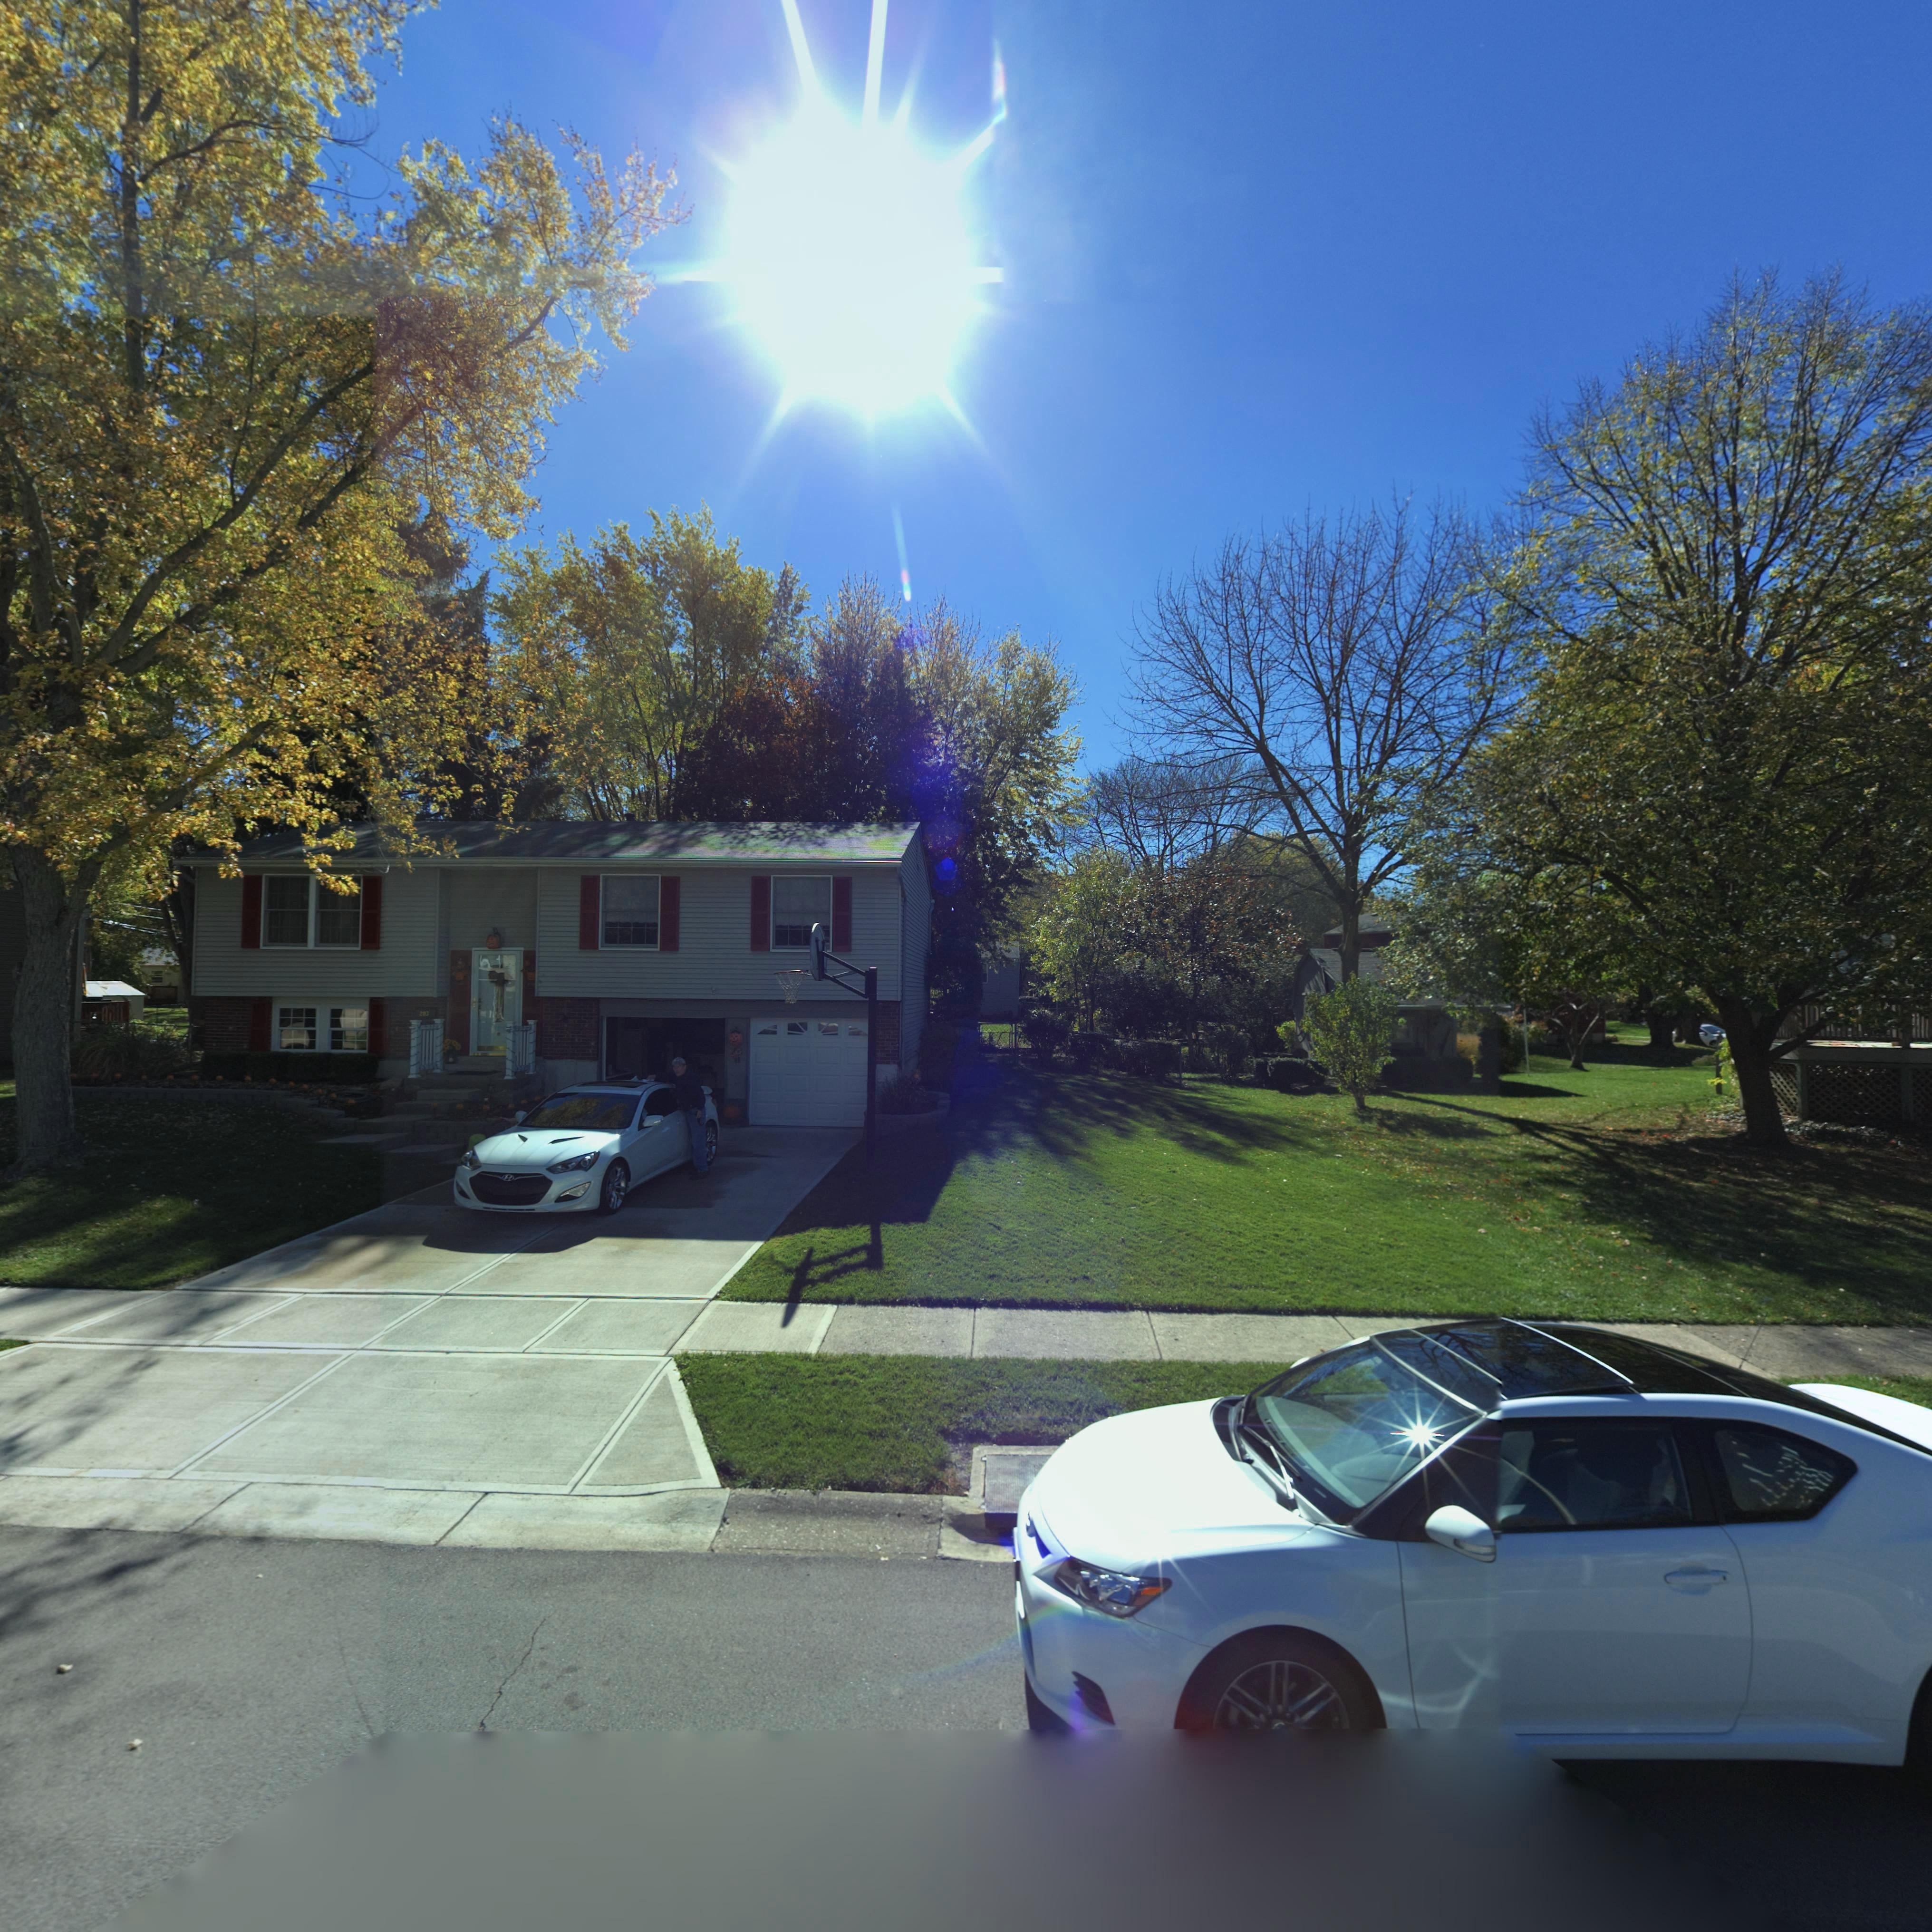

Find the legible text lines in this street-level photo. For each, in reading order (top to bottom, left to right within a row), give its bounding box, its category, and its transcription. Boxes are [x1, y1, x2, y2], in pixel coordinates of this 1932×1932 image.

[418, 1010, 430, 1017] StreetNumber: 203